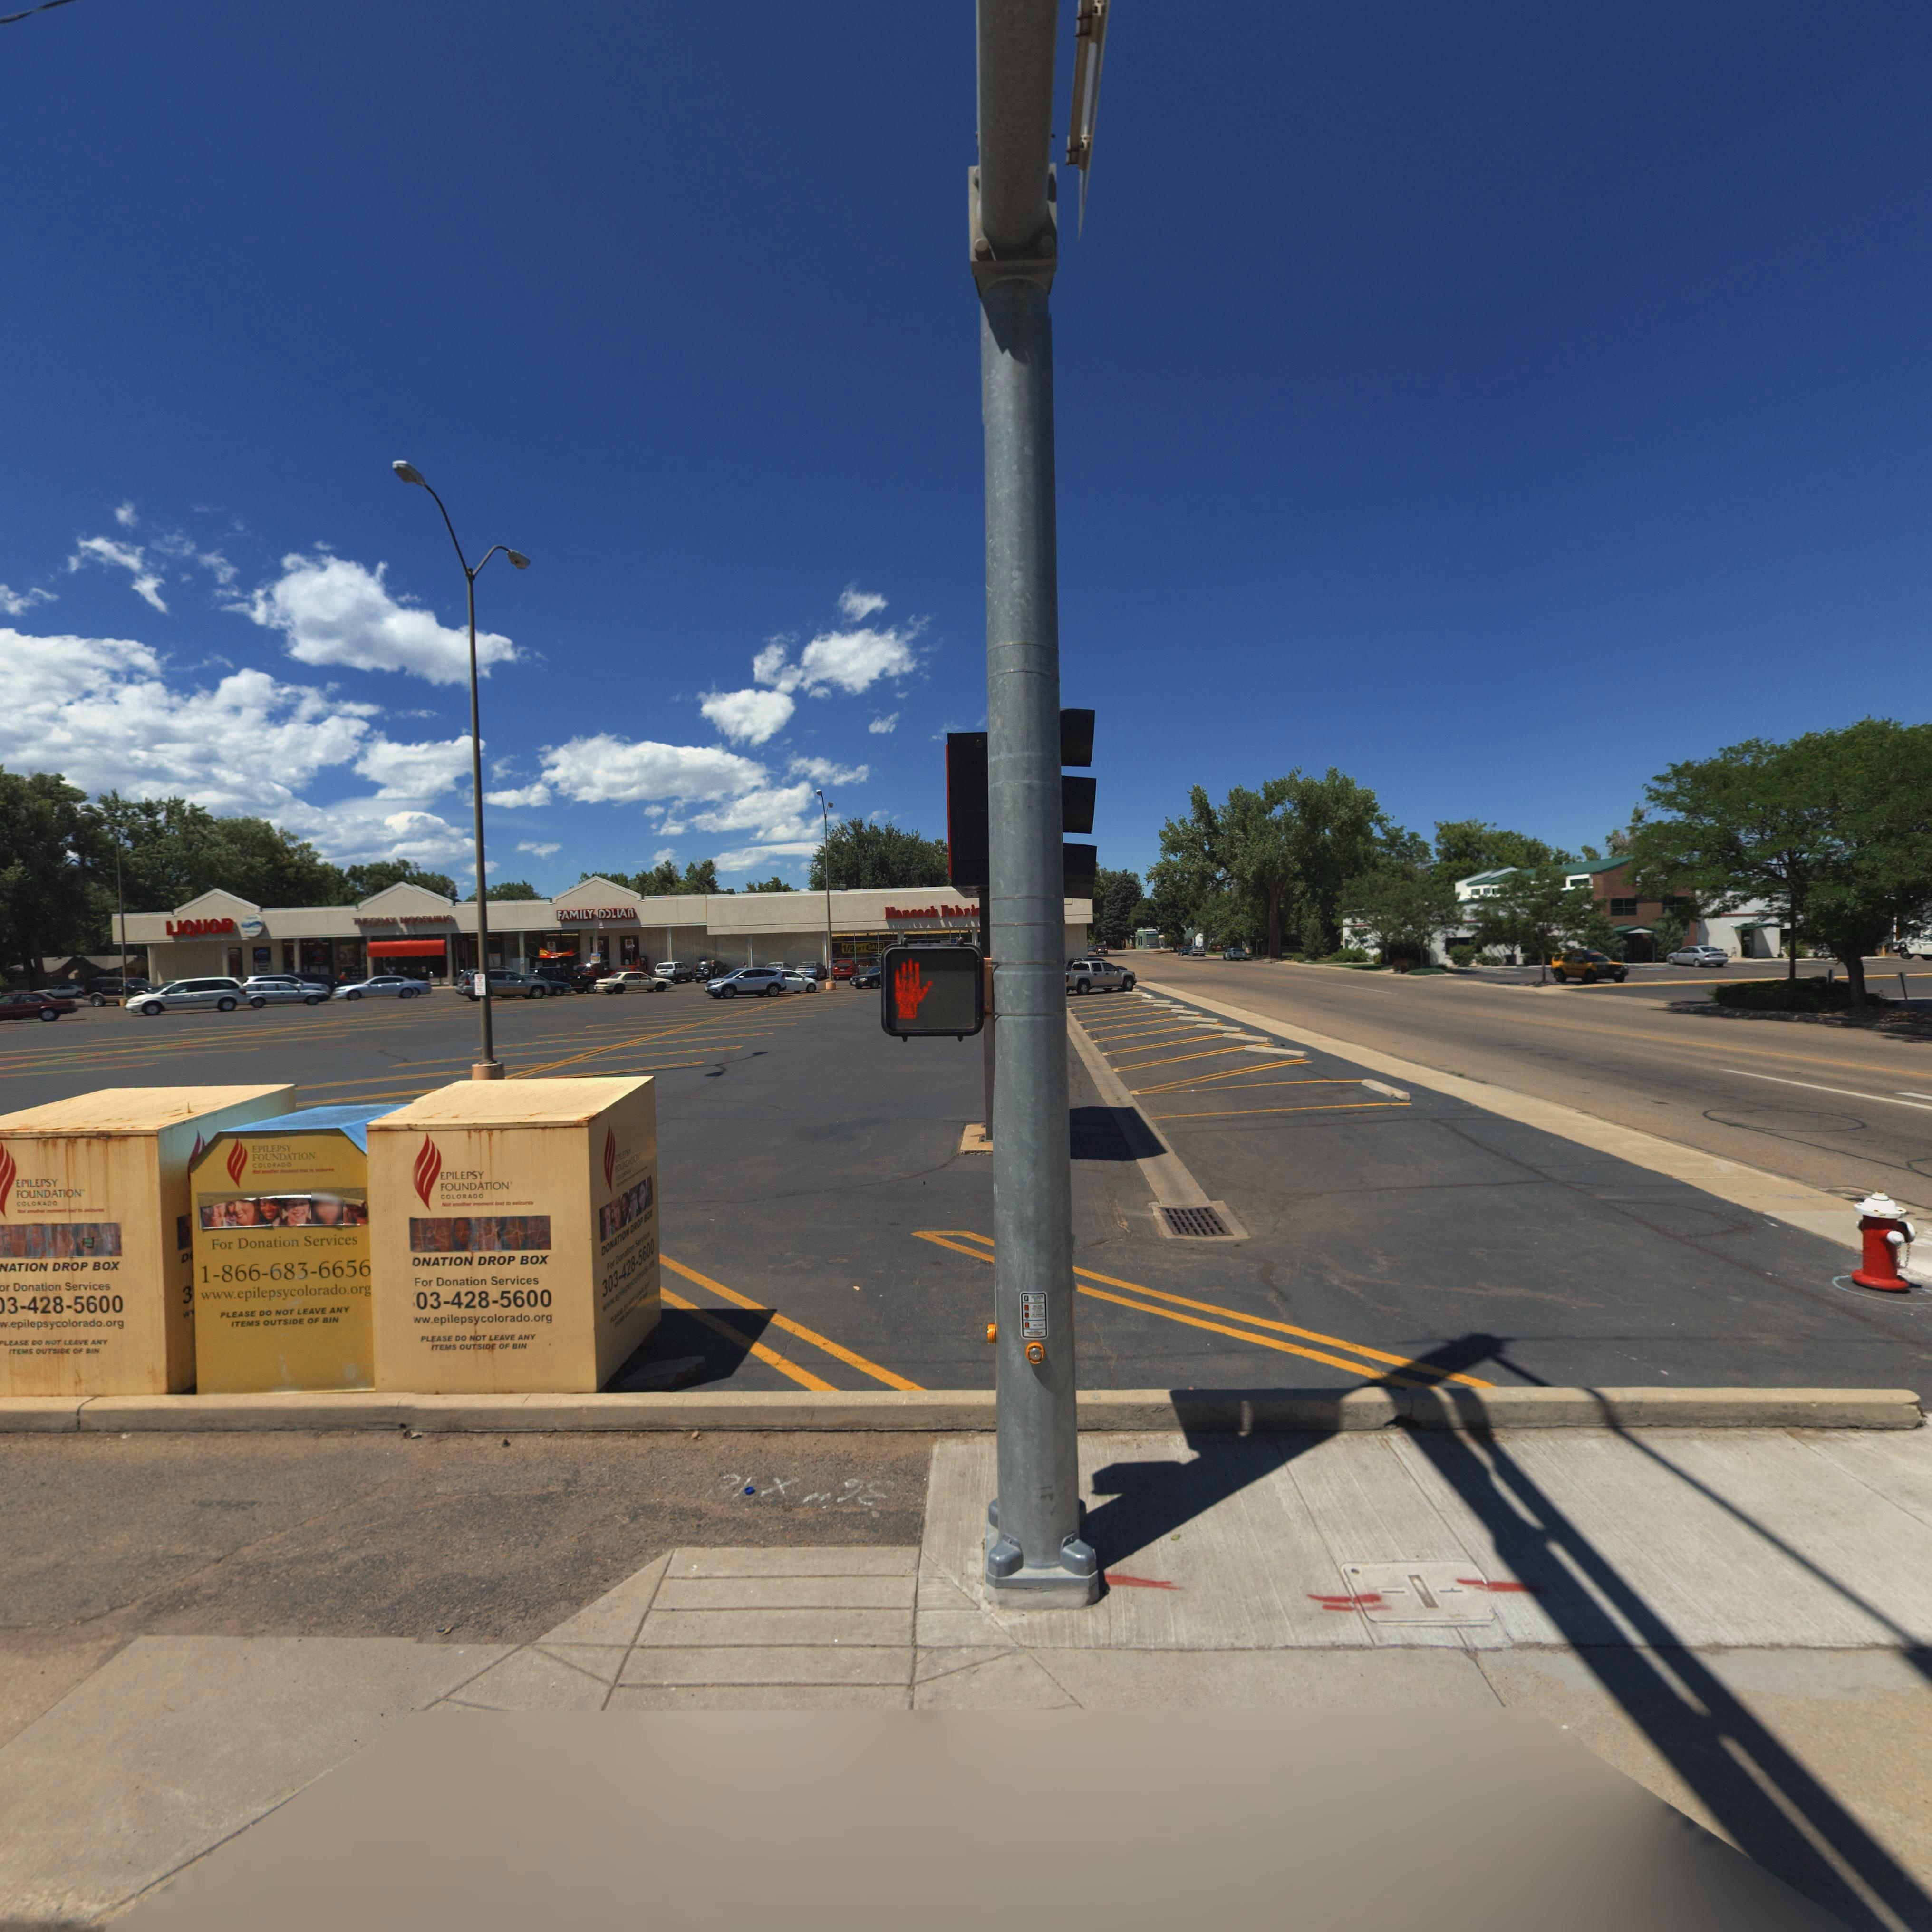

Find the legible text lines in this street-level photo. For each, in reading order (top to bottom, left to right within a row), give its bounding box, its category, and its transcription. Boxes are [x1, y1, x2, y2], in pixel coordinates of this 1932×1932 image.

[351, 914, 453, 926] BusinessName: TUESDAY MORNING
[556, 907, 635, 921] BusinessName: FAMILY D*LLAR
[884, 904, 980, 919] BusinessName: Hancock Fabric